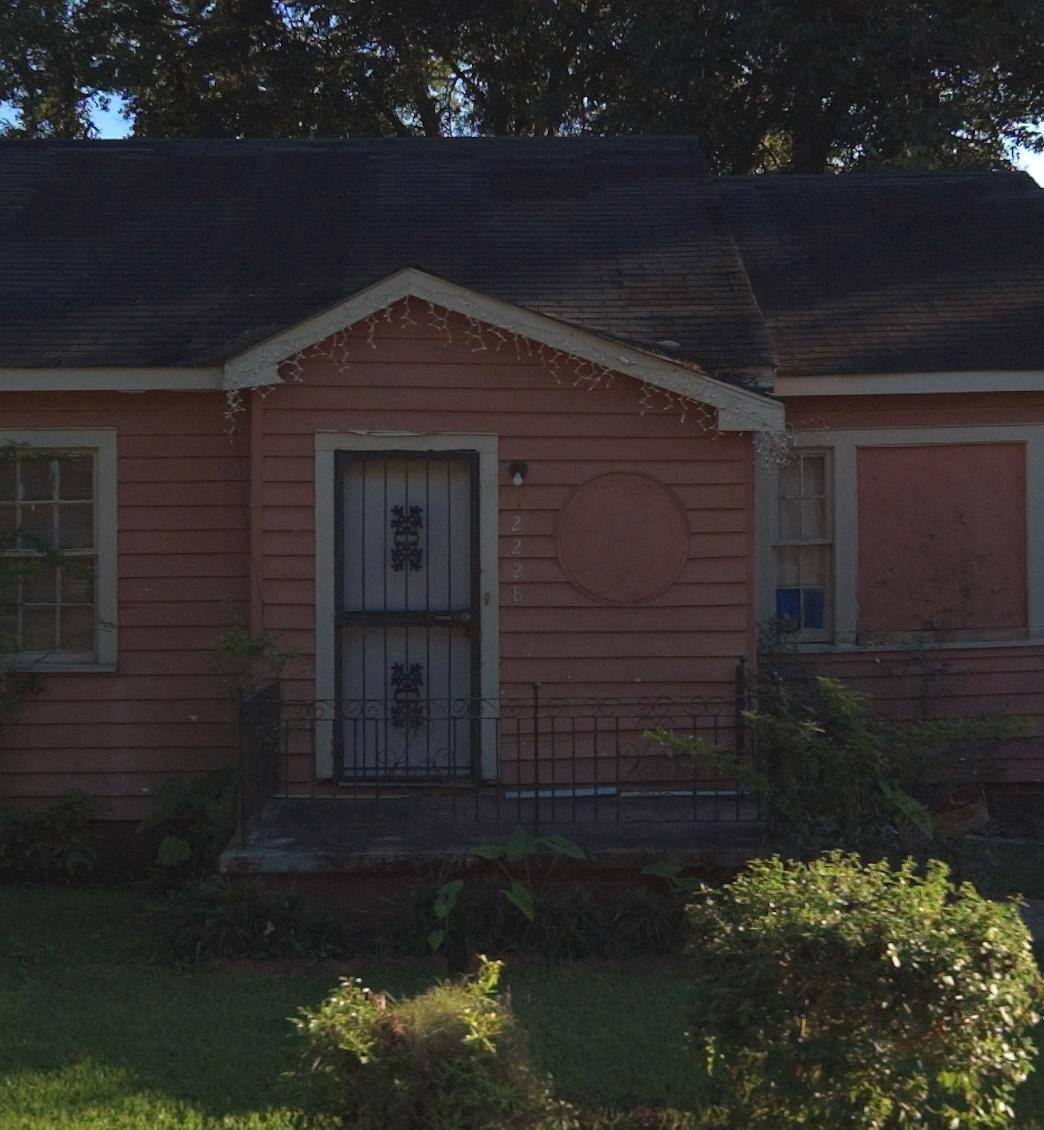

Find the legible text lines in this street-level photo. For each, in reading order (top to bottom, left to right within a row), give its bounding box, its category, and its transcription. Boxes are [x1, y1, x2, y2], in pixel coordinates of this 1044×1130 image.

[509, 512, 526, 605] StreetNumber: 2228